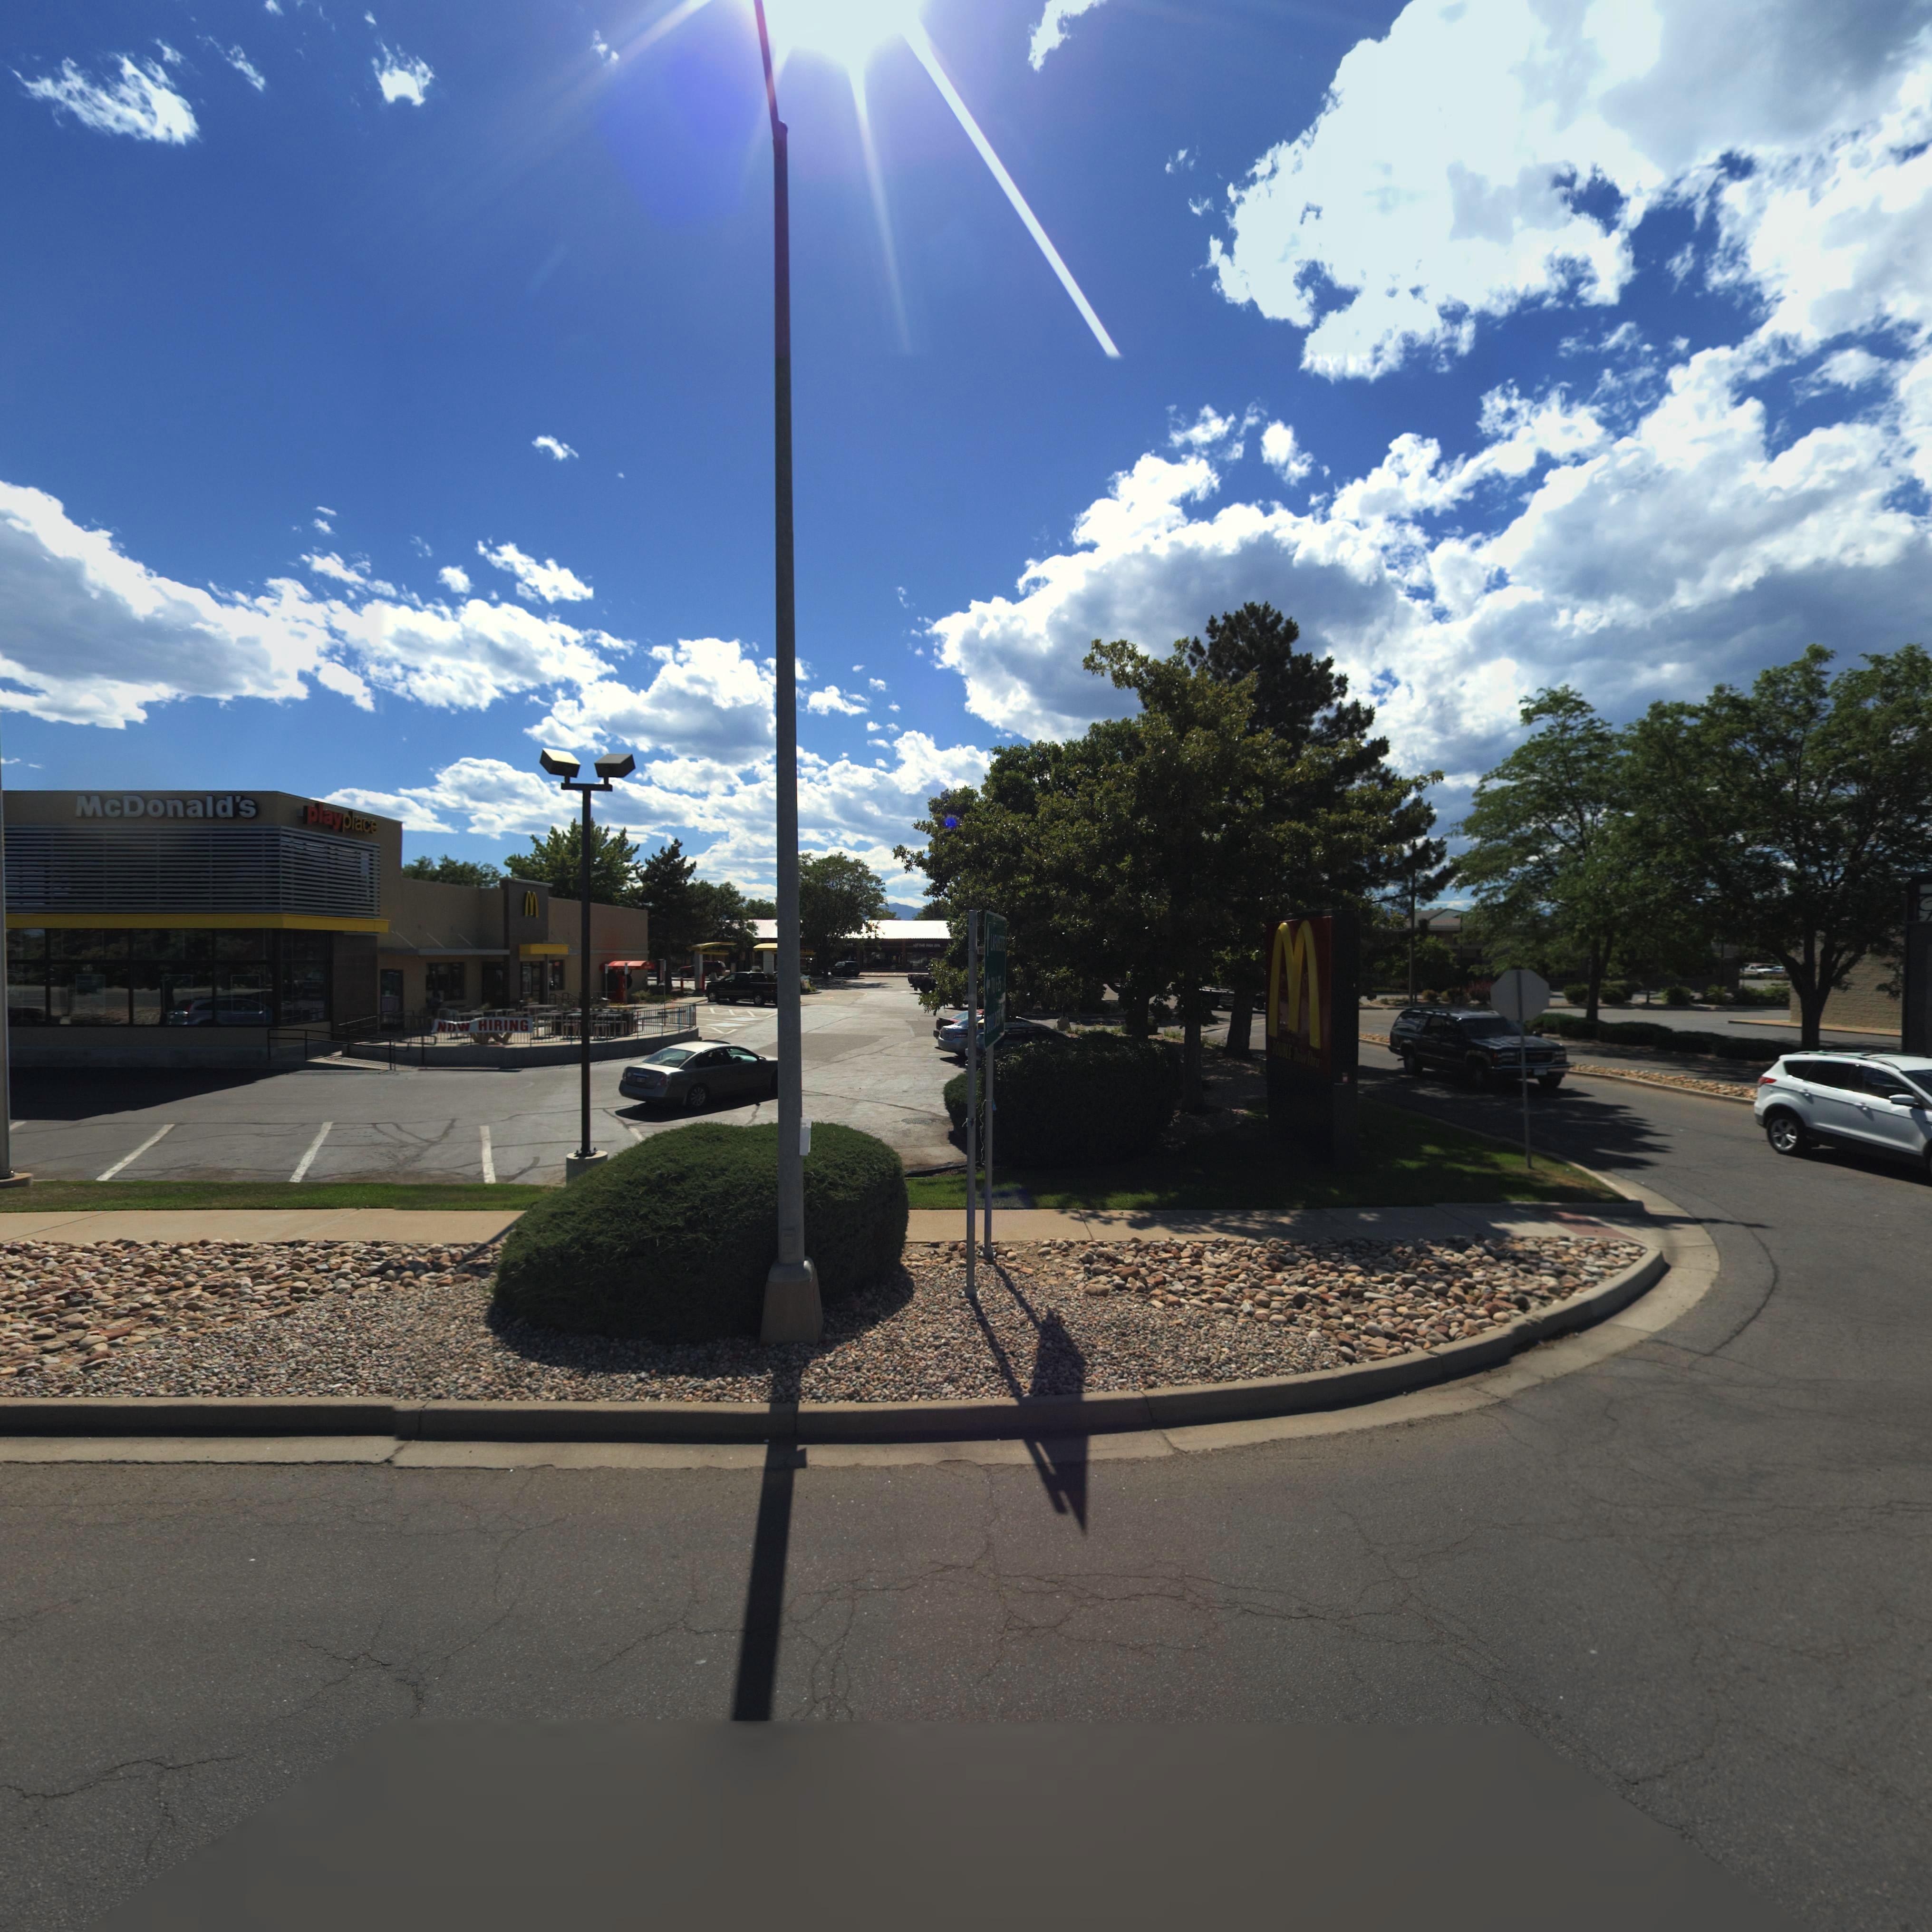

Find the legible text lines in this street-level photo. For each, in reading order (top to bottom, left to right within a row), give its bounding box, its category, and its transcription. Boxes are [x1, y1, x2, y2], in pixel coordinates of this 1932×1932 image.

[74, 794, 257, 820] BusinessName: McDonald's
[918, 943, 941, 947] BusinessName: *** **** CPA